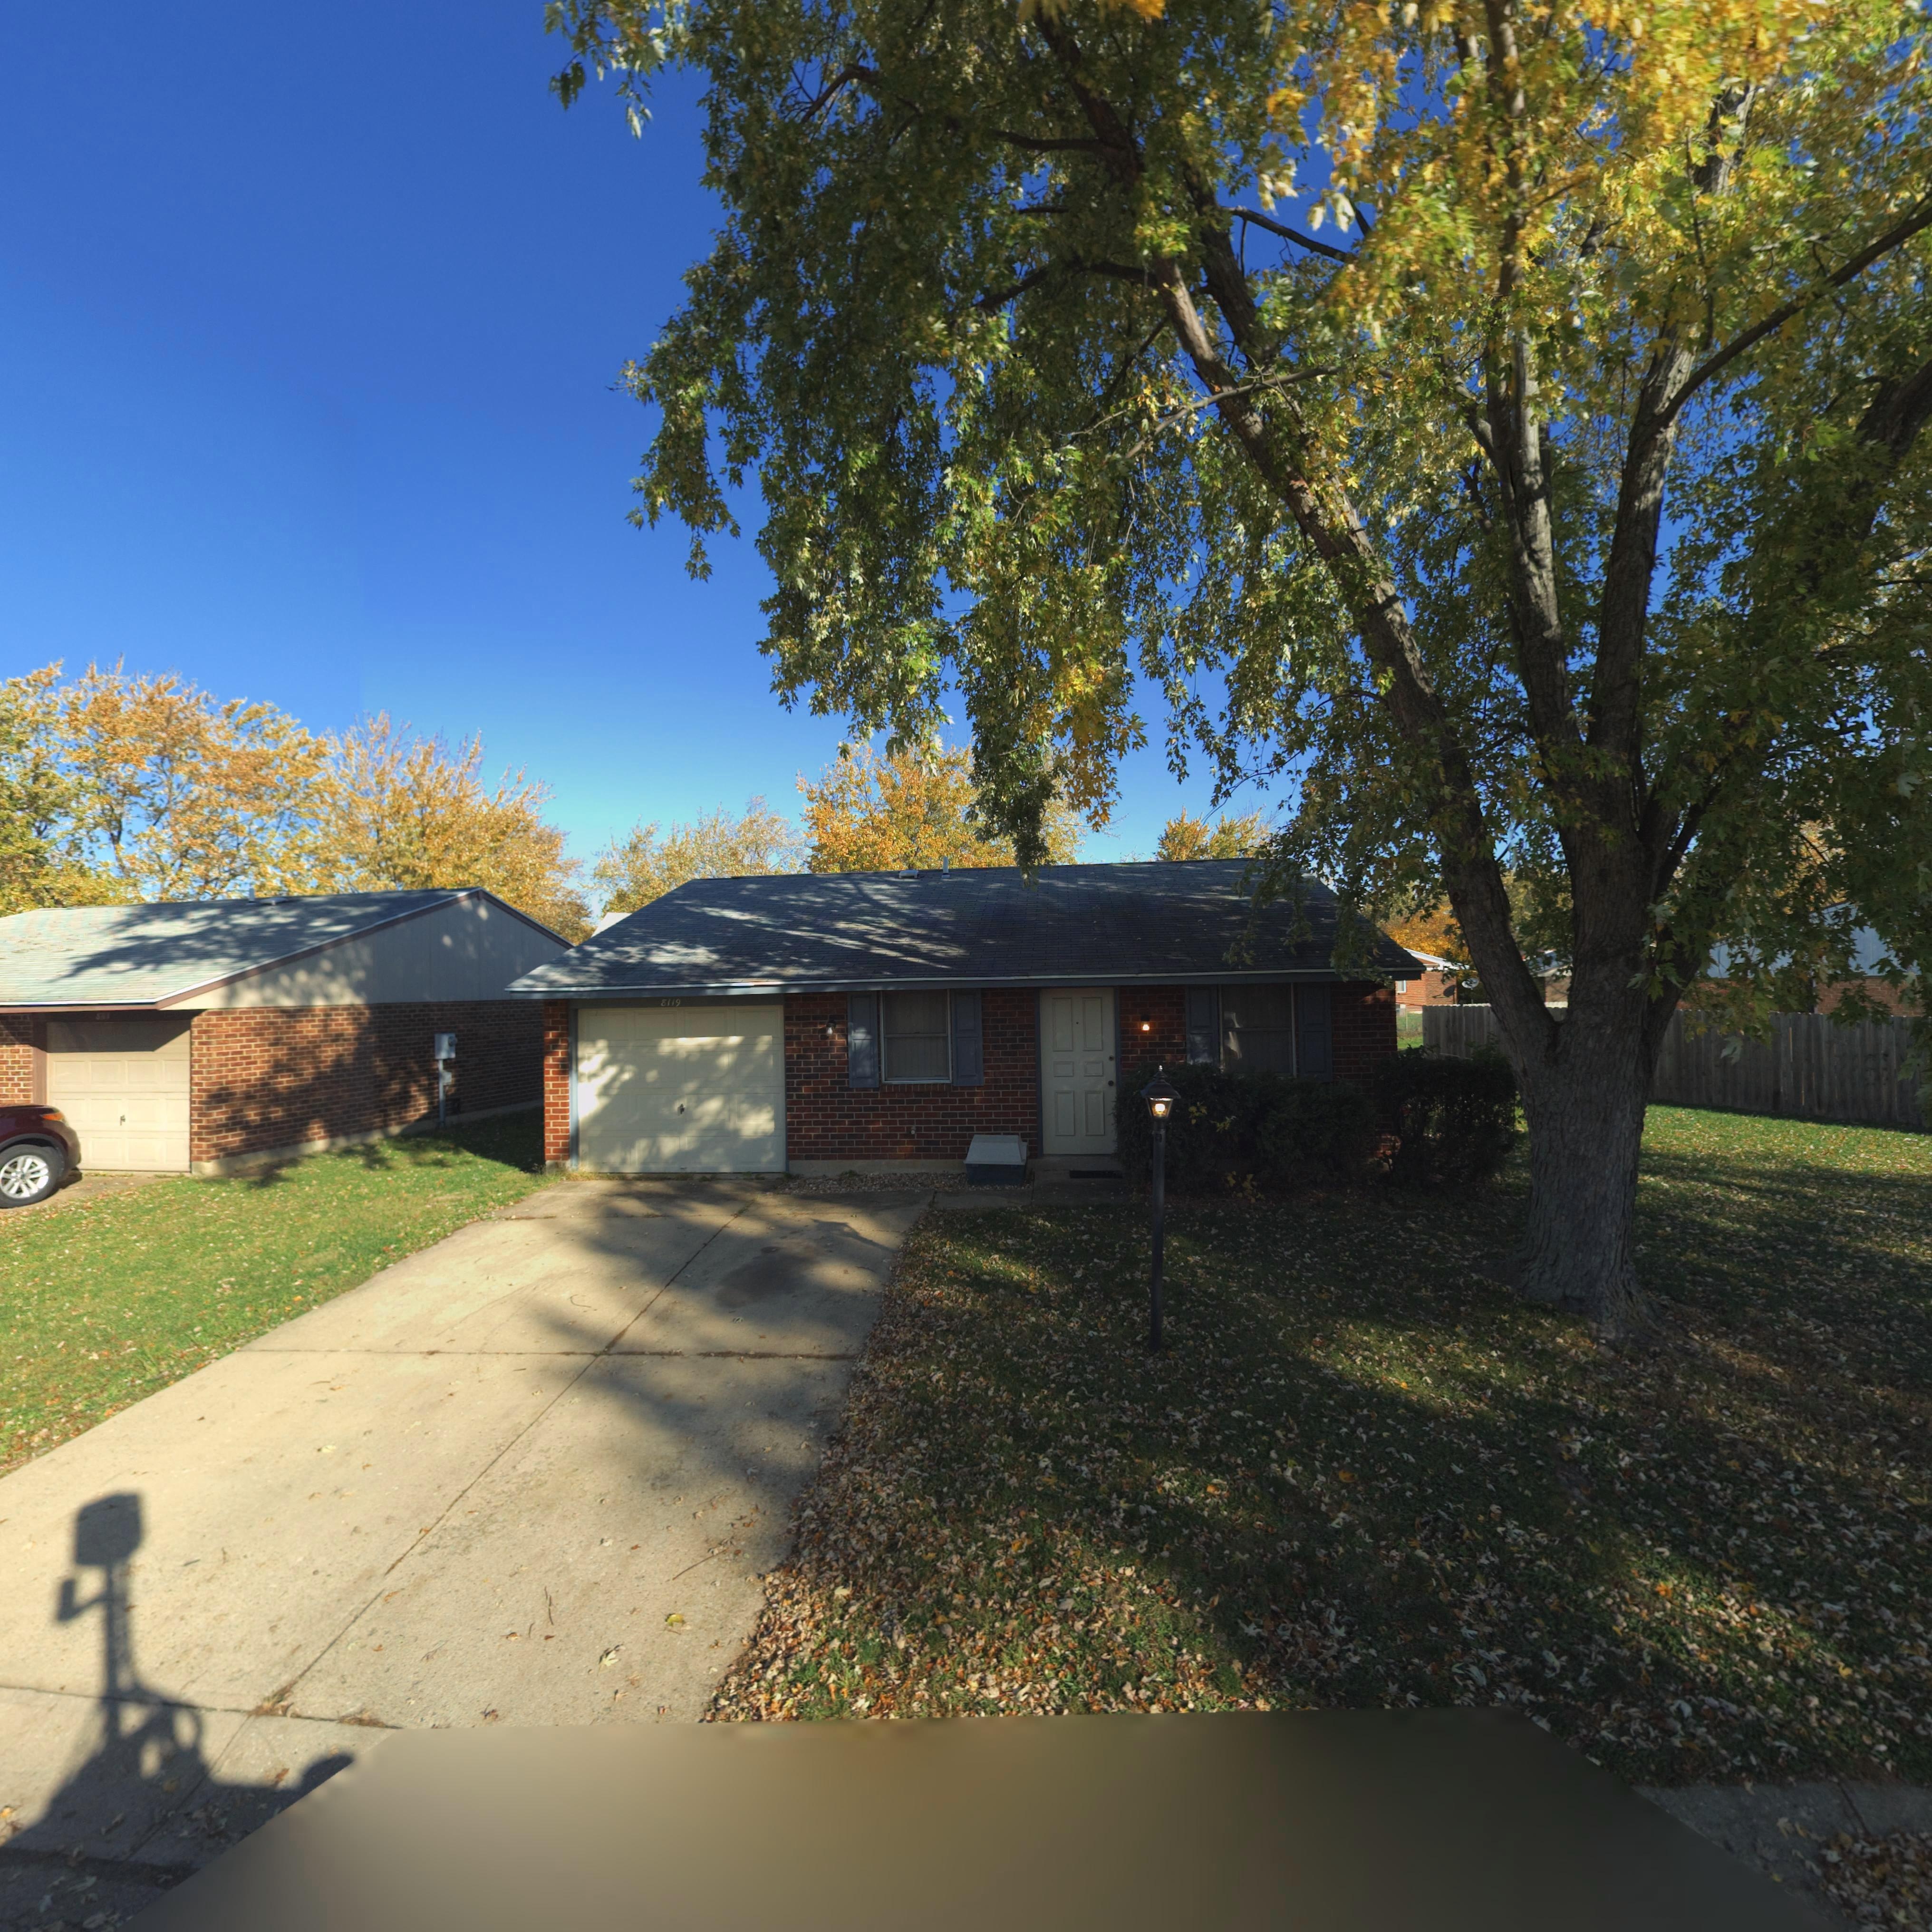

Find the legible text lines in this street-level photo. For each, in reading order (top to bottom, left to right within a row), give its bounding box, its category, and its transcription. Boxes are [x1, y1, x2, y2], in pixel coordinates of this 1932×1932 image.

[659, 997, 682, 1008] StreetNumber: 8119